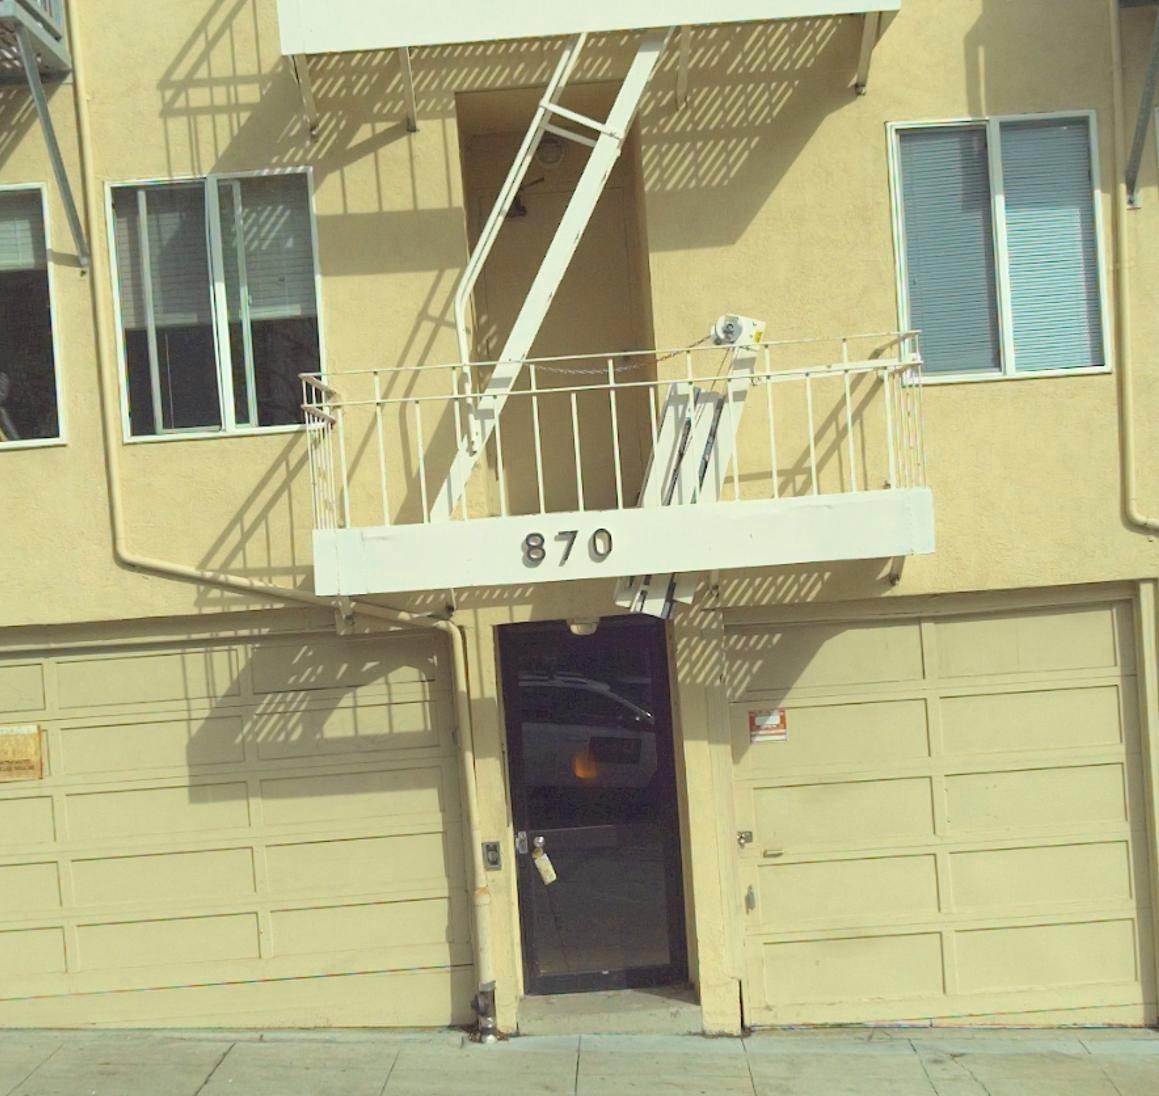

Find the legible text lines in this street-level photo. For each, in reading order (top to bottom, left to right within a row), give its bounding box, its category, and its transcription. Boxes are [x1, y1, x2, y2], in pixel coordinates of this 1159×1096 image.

[523, 525, 615, 566] StreetNumber: 870